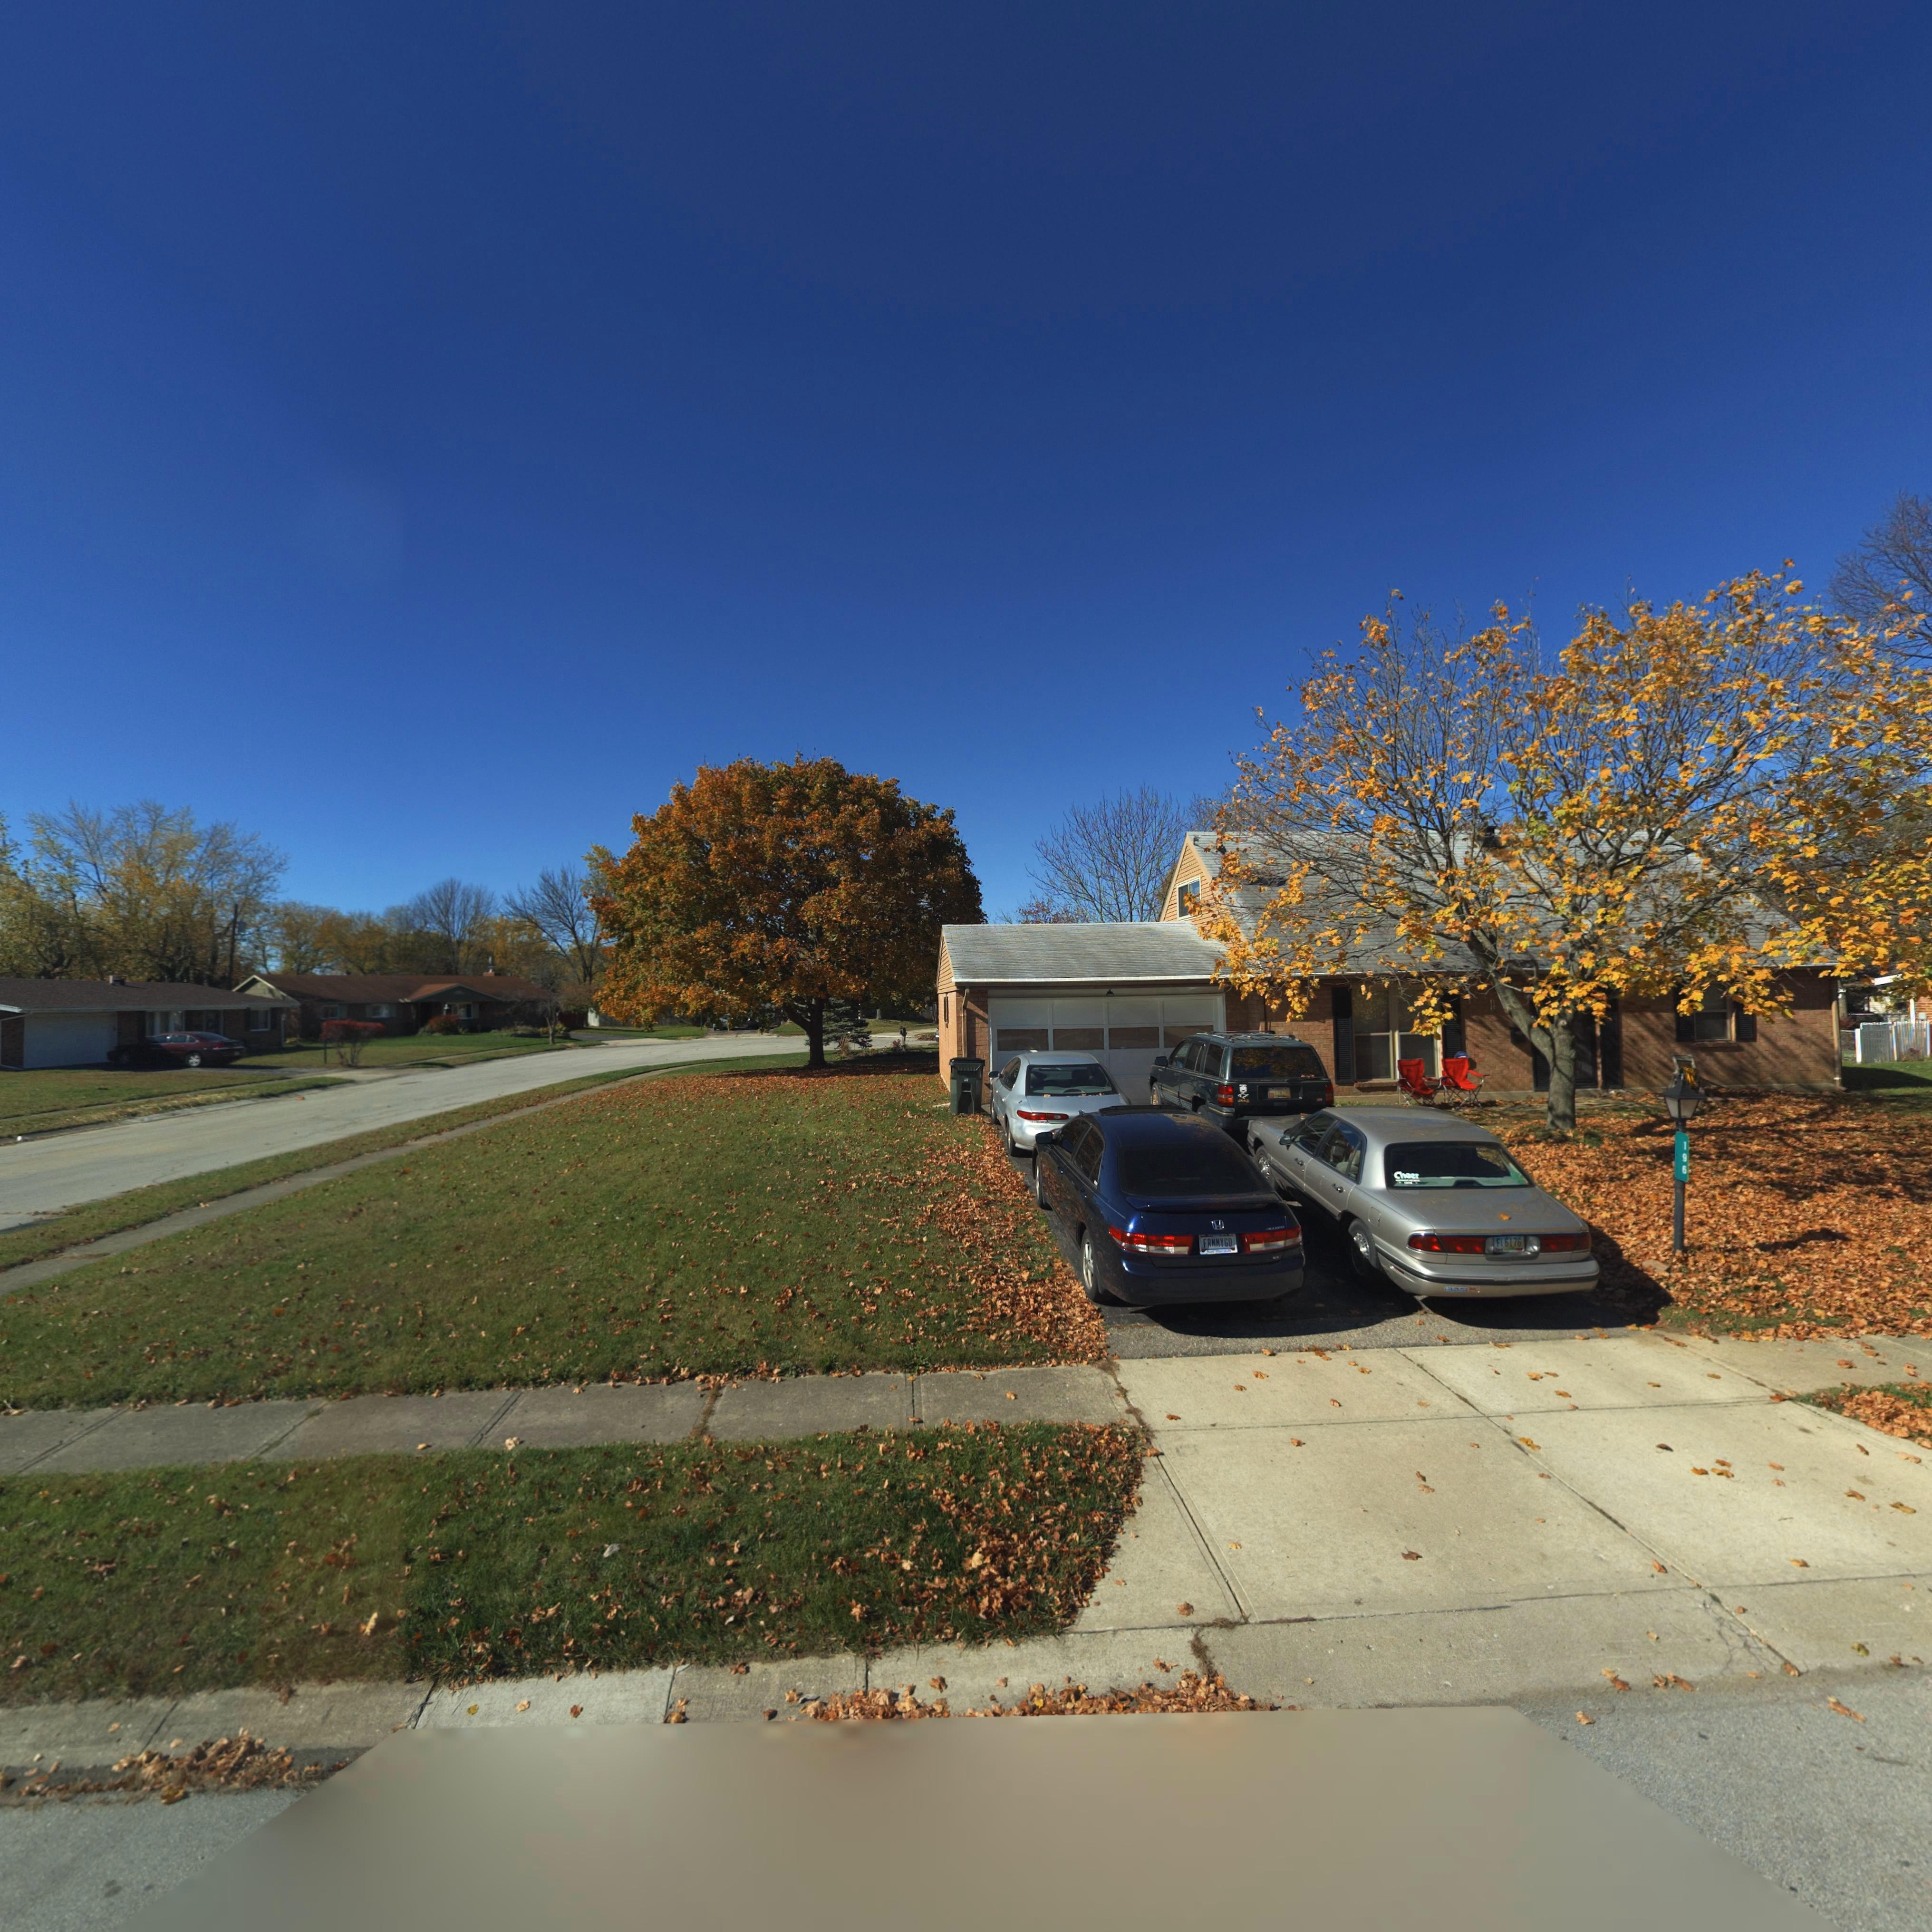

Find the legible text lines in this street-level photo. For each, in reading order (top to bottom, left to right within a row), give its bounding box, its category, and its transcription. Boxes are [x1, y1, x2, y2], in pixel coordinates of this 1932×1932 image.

[1681, 1140, 1688, 1175] StreetNumber: 196